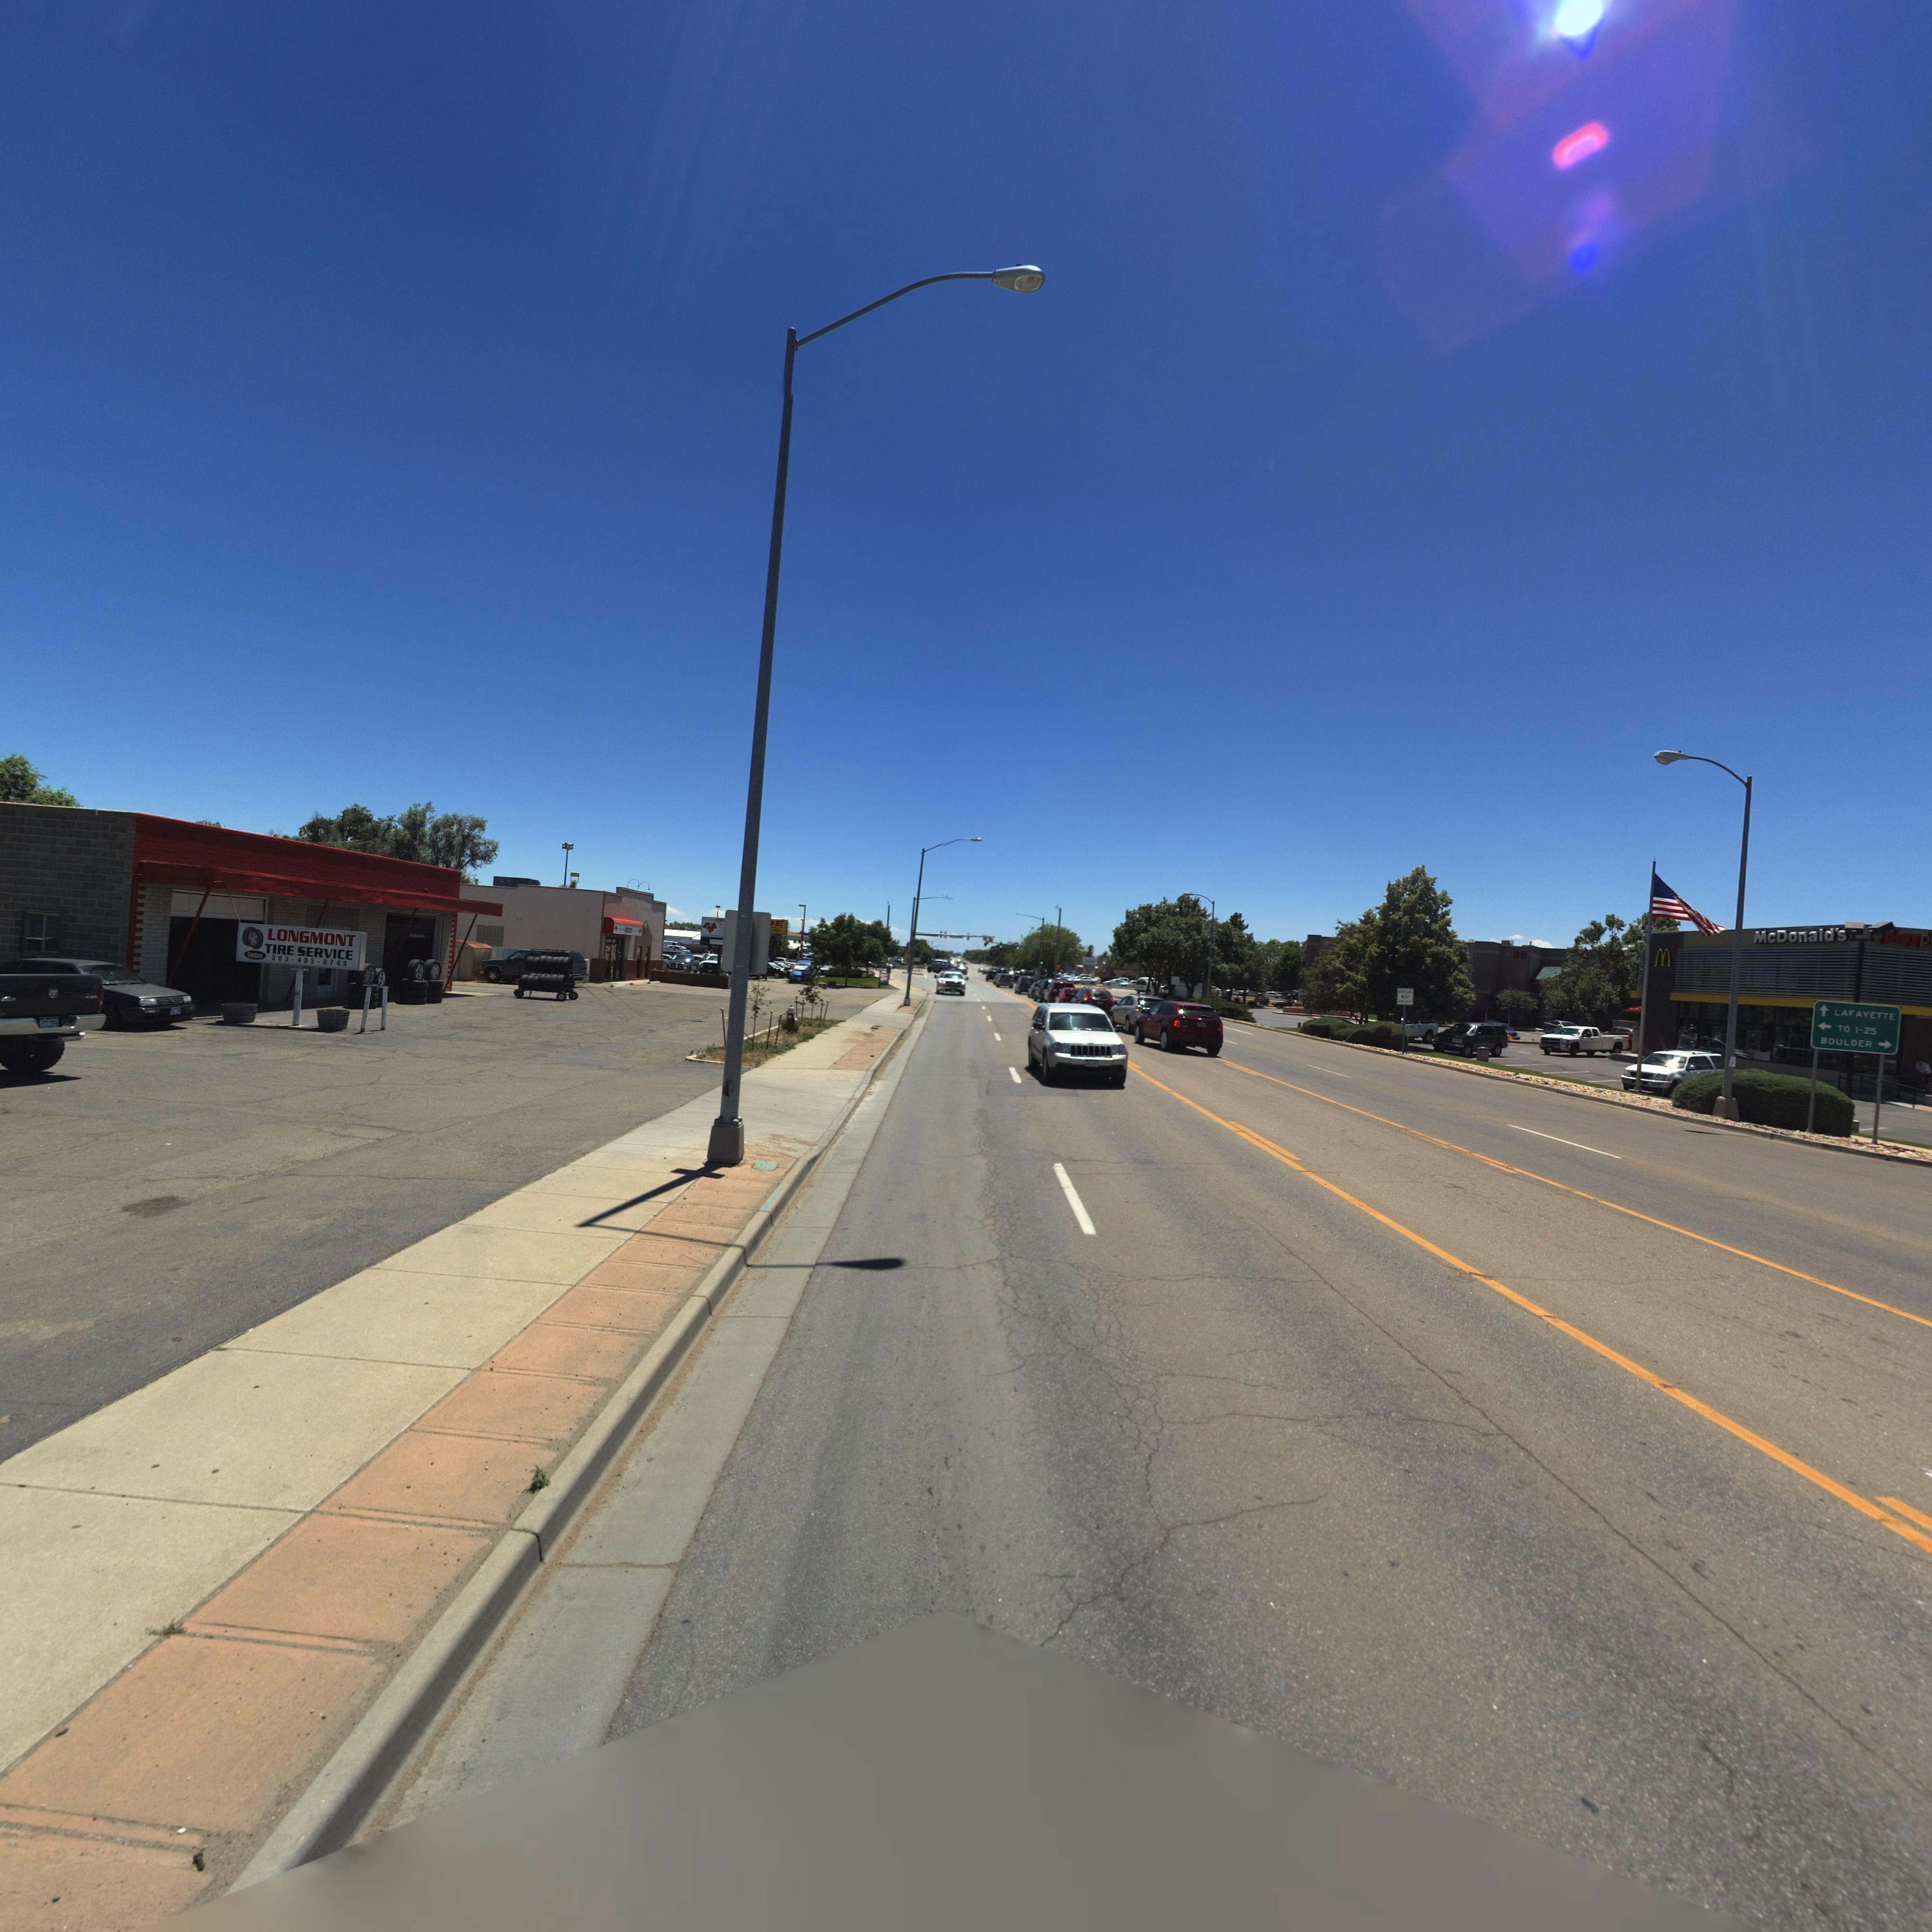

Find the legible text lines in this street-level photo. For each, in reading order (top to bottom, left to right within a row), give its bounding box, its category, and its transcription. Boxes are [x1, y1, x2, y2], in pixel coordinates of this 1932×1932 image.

[770, 920, 784, 926] BusinessName: *E
[267, 927, 356, 947] BusinessName: LONGMONT
[1753, 927, 1847, 943] BusinessName: McDonald's
[264, 944, 353, 960] BusinessName: TIRE SERVICE